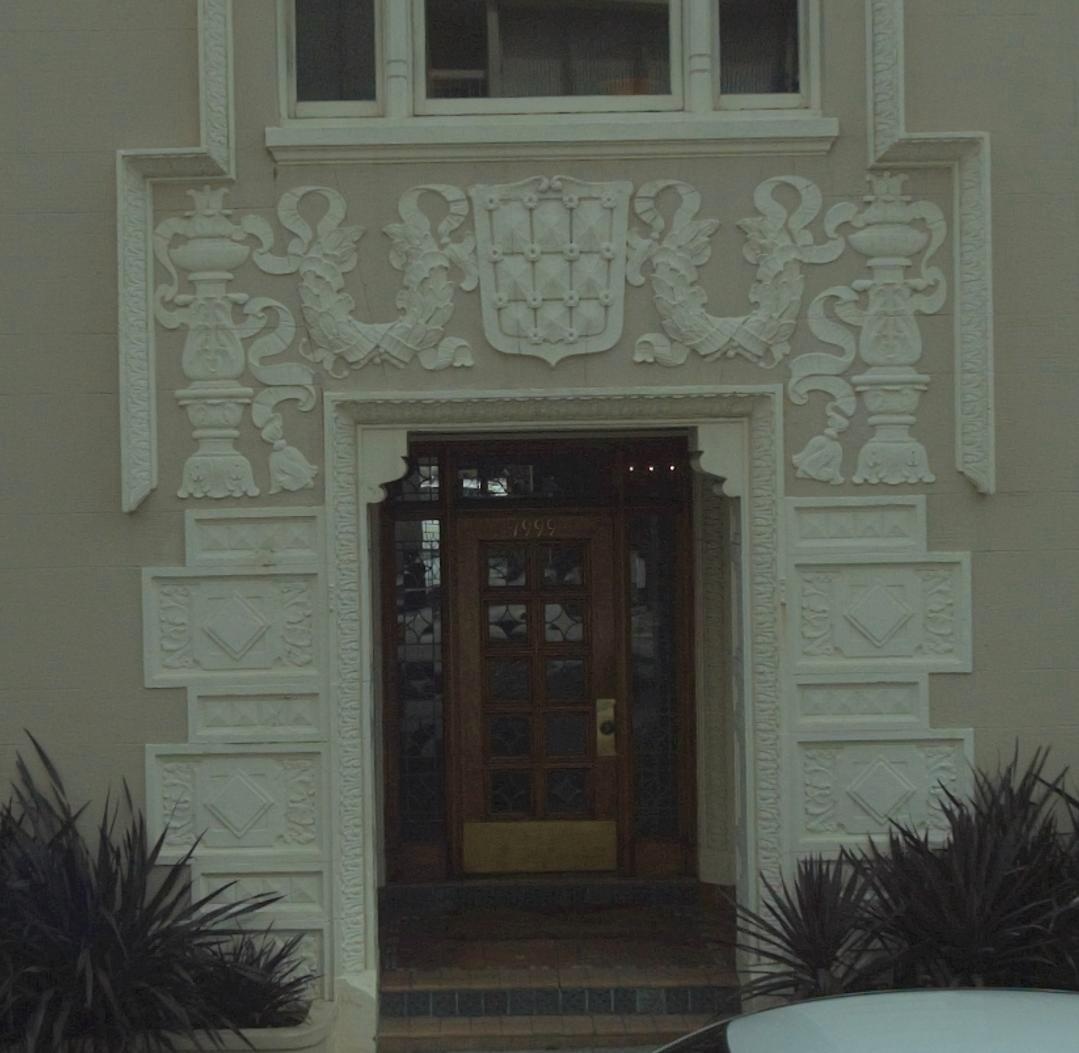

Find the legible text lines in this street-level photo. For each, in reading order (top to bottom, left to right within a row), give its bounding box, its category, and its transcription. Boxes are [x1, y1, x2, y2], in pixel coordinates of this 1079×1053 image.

[510, 516, 559, 539] StreetNumber: 1999